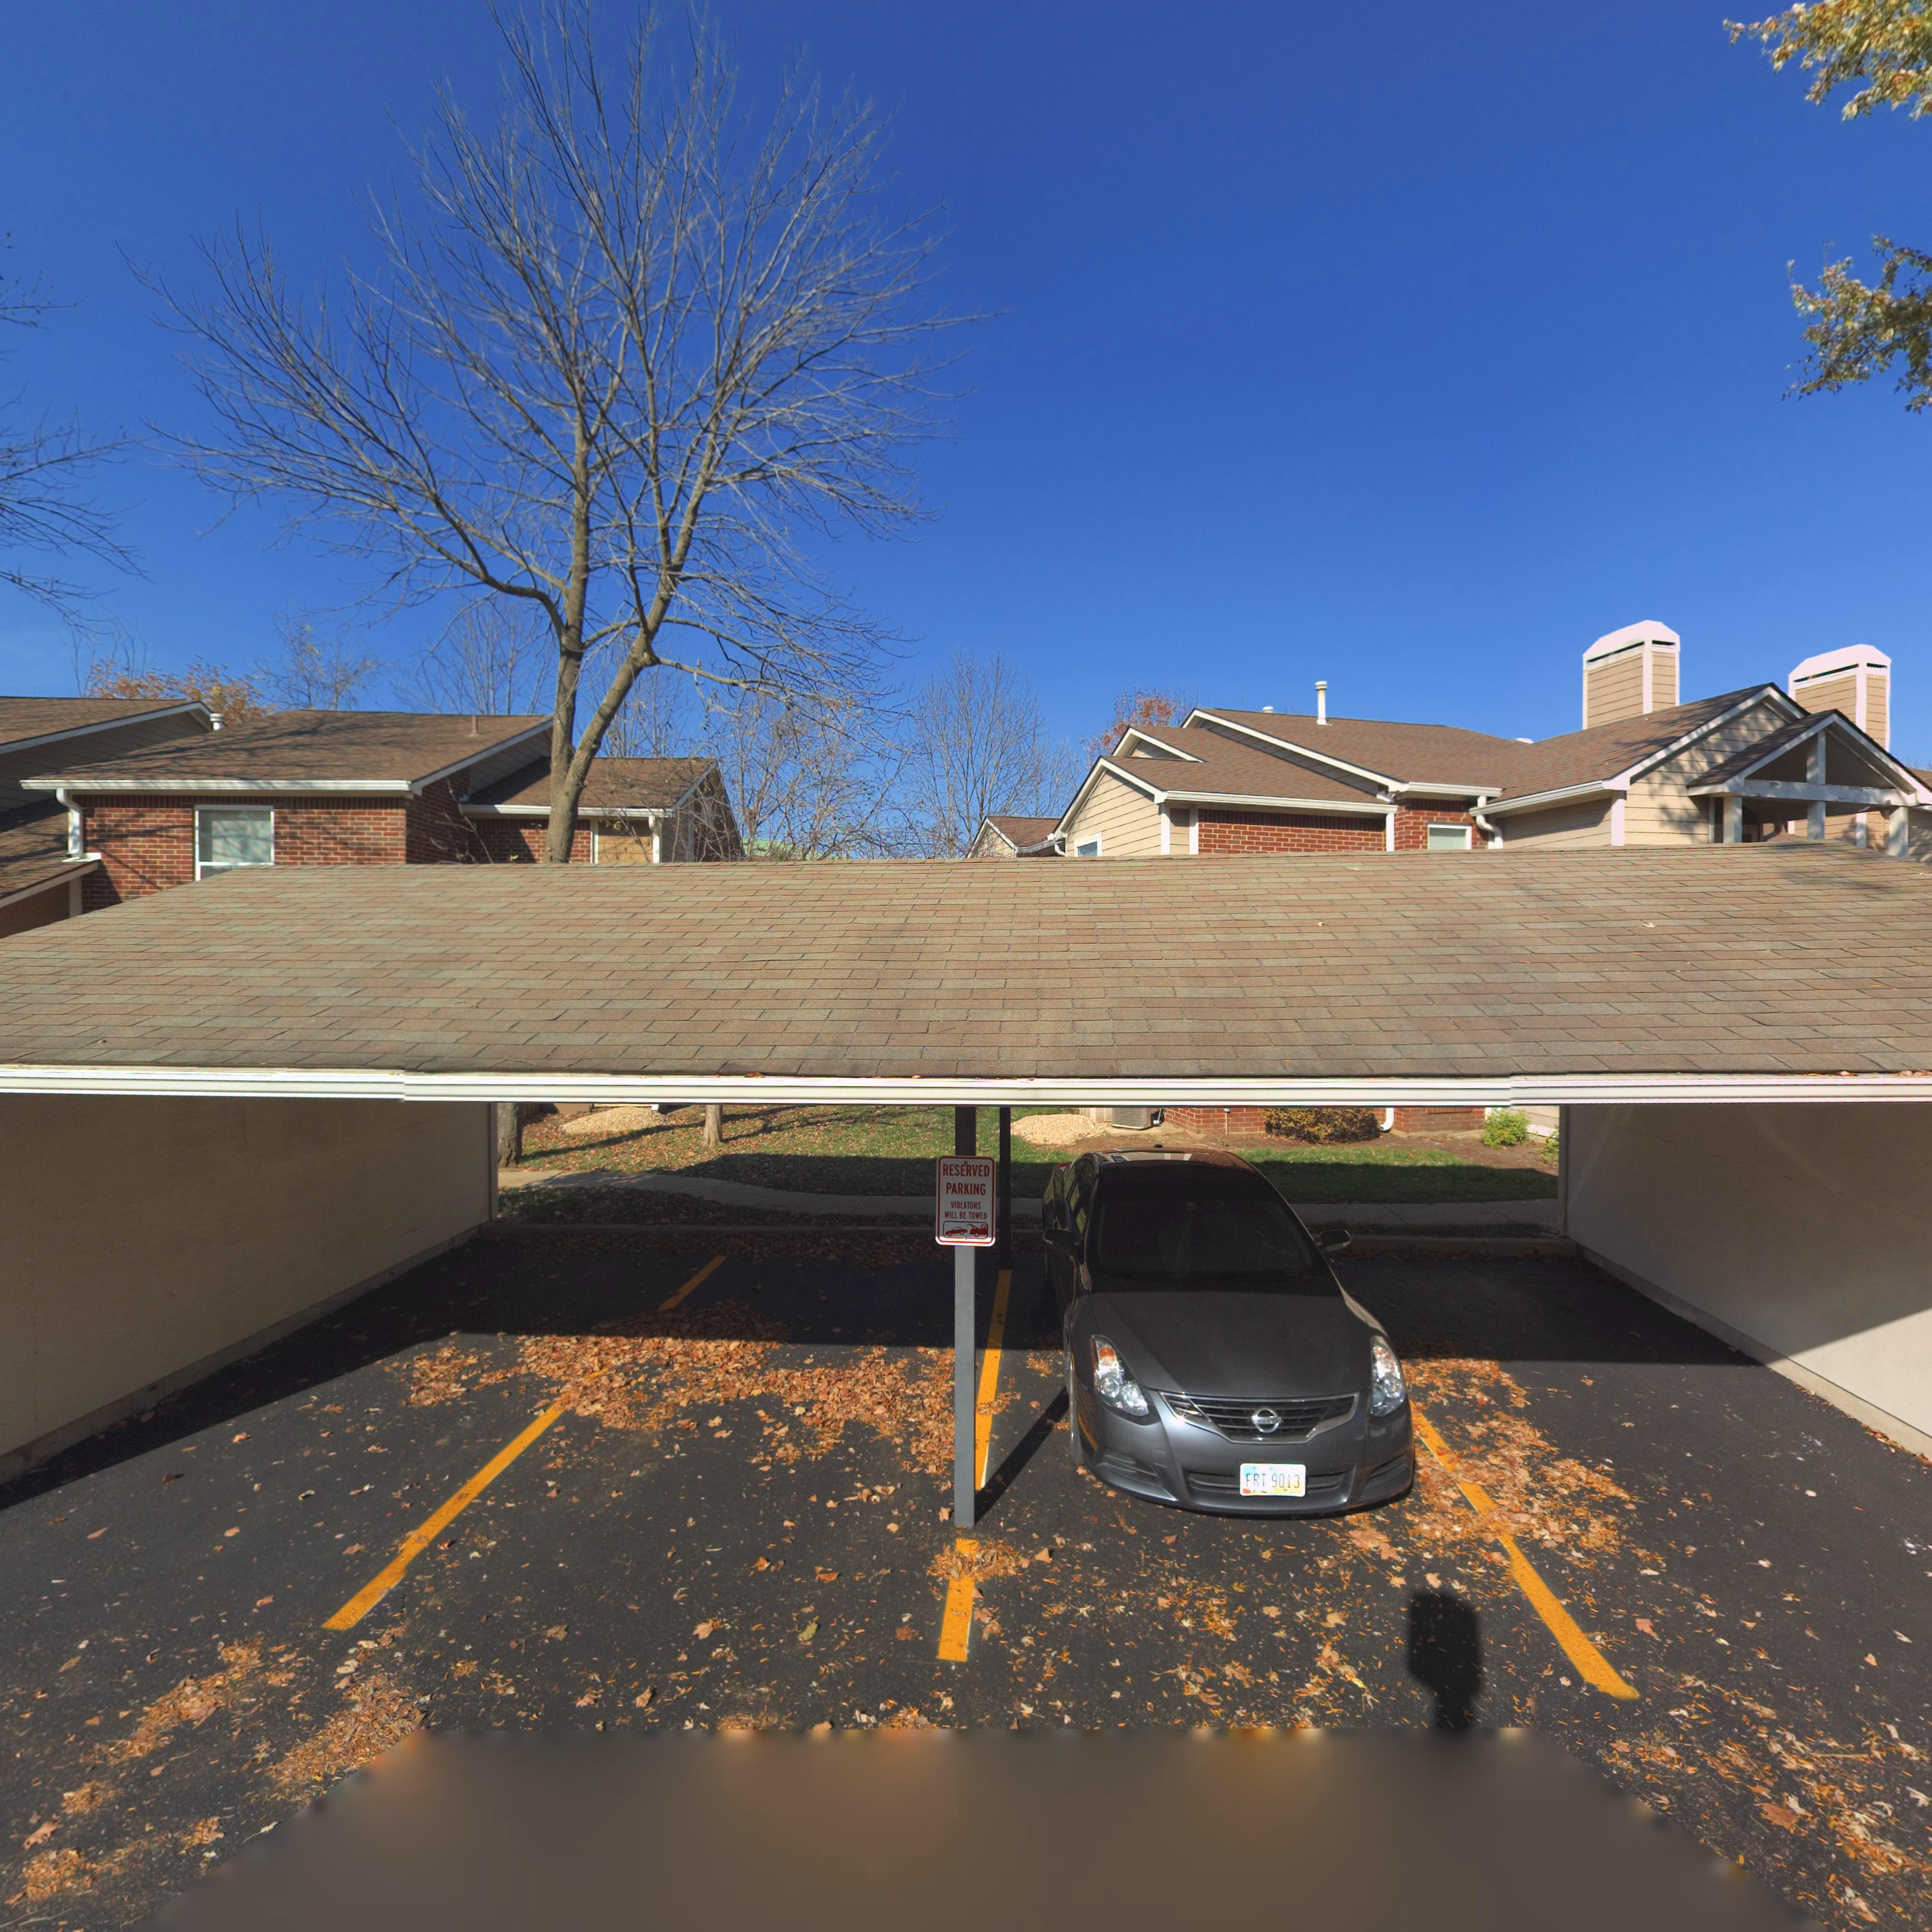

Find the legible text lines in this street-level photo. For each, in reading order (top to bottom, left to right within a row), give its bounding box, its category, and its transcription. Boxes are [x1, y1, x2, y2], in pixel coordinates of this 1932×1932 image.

[942, 1163, 991, 1178] None: RESERVED
[945, 1181, 987, 1196] None: PARKING
[950, 1200, 982, 1210] None: VIOLATORS
[943, 1210, 988, 1220] None: WILL BE TOWED
[1245, 1472, 1301, 1490] None: FRT 9013